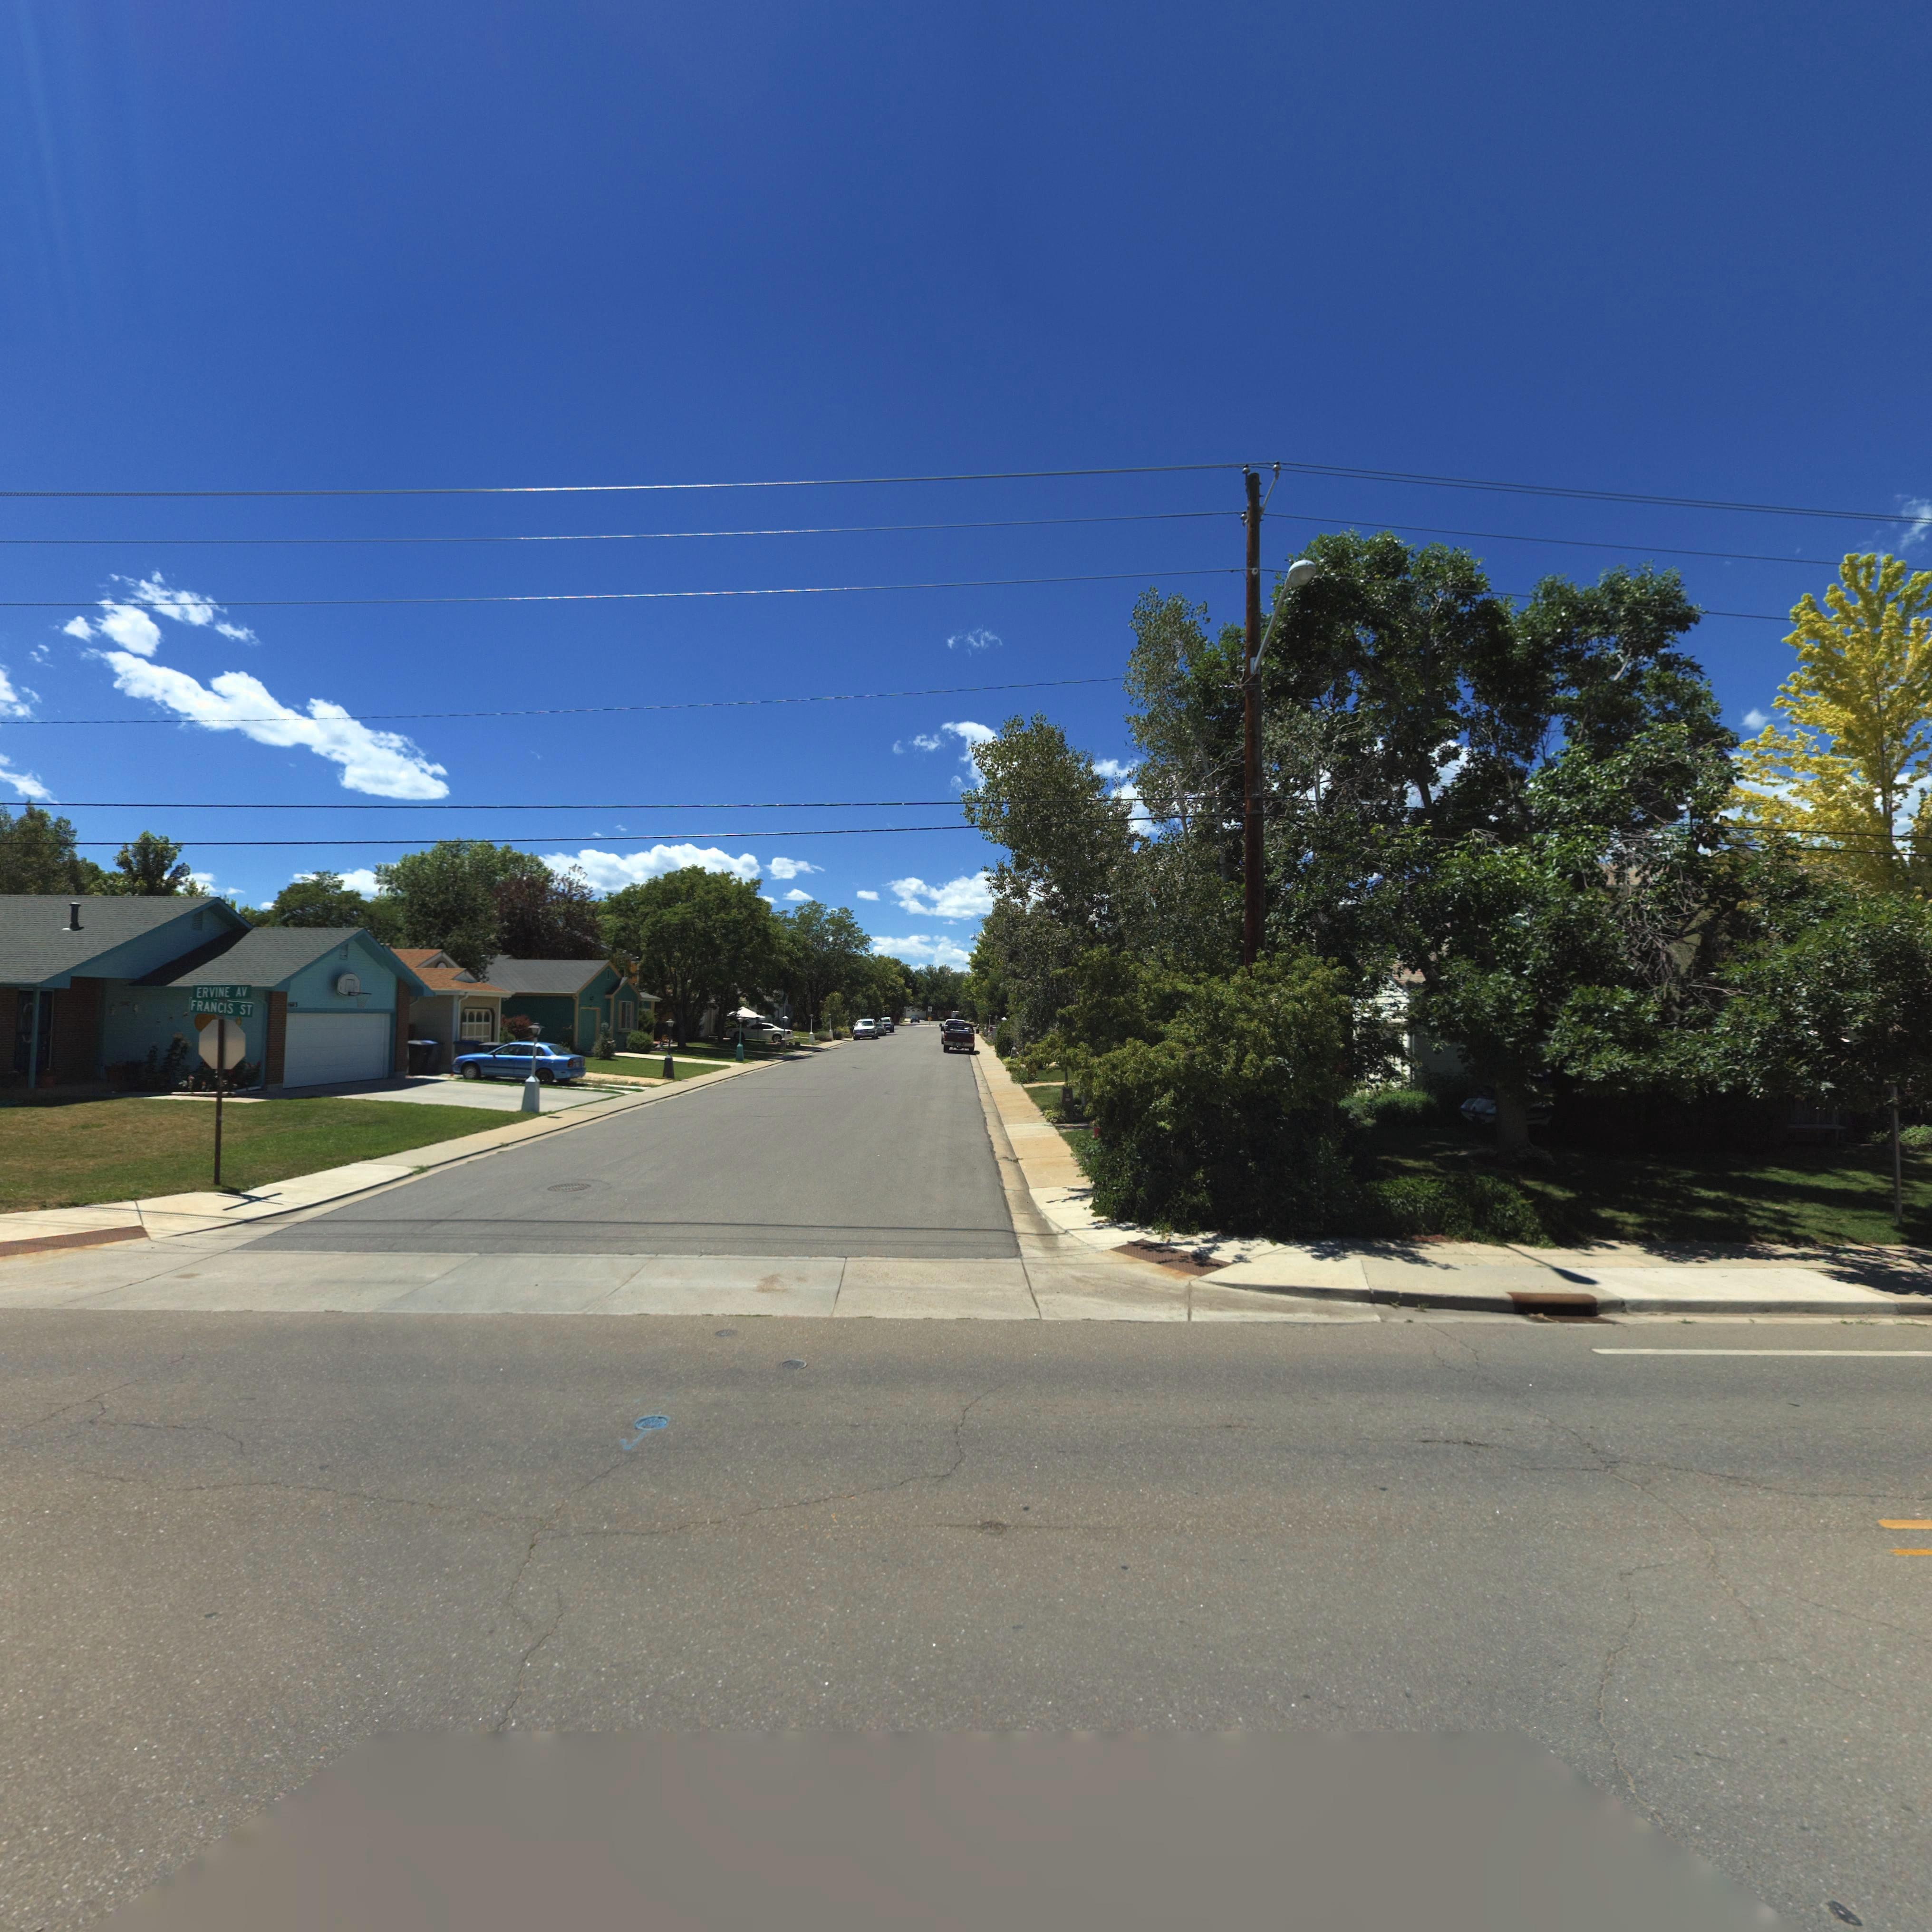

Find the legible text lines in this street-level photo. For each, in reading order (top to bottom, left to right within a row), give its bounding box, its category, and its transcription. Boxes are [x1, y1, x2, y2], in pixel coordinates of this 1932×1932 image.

[195, 985, 251, 999] StreetName: ERVINE AV
[189, 997, 255, 1017] StreetName: FRANCIS ST